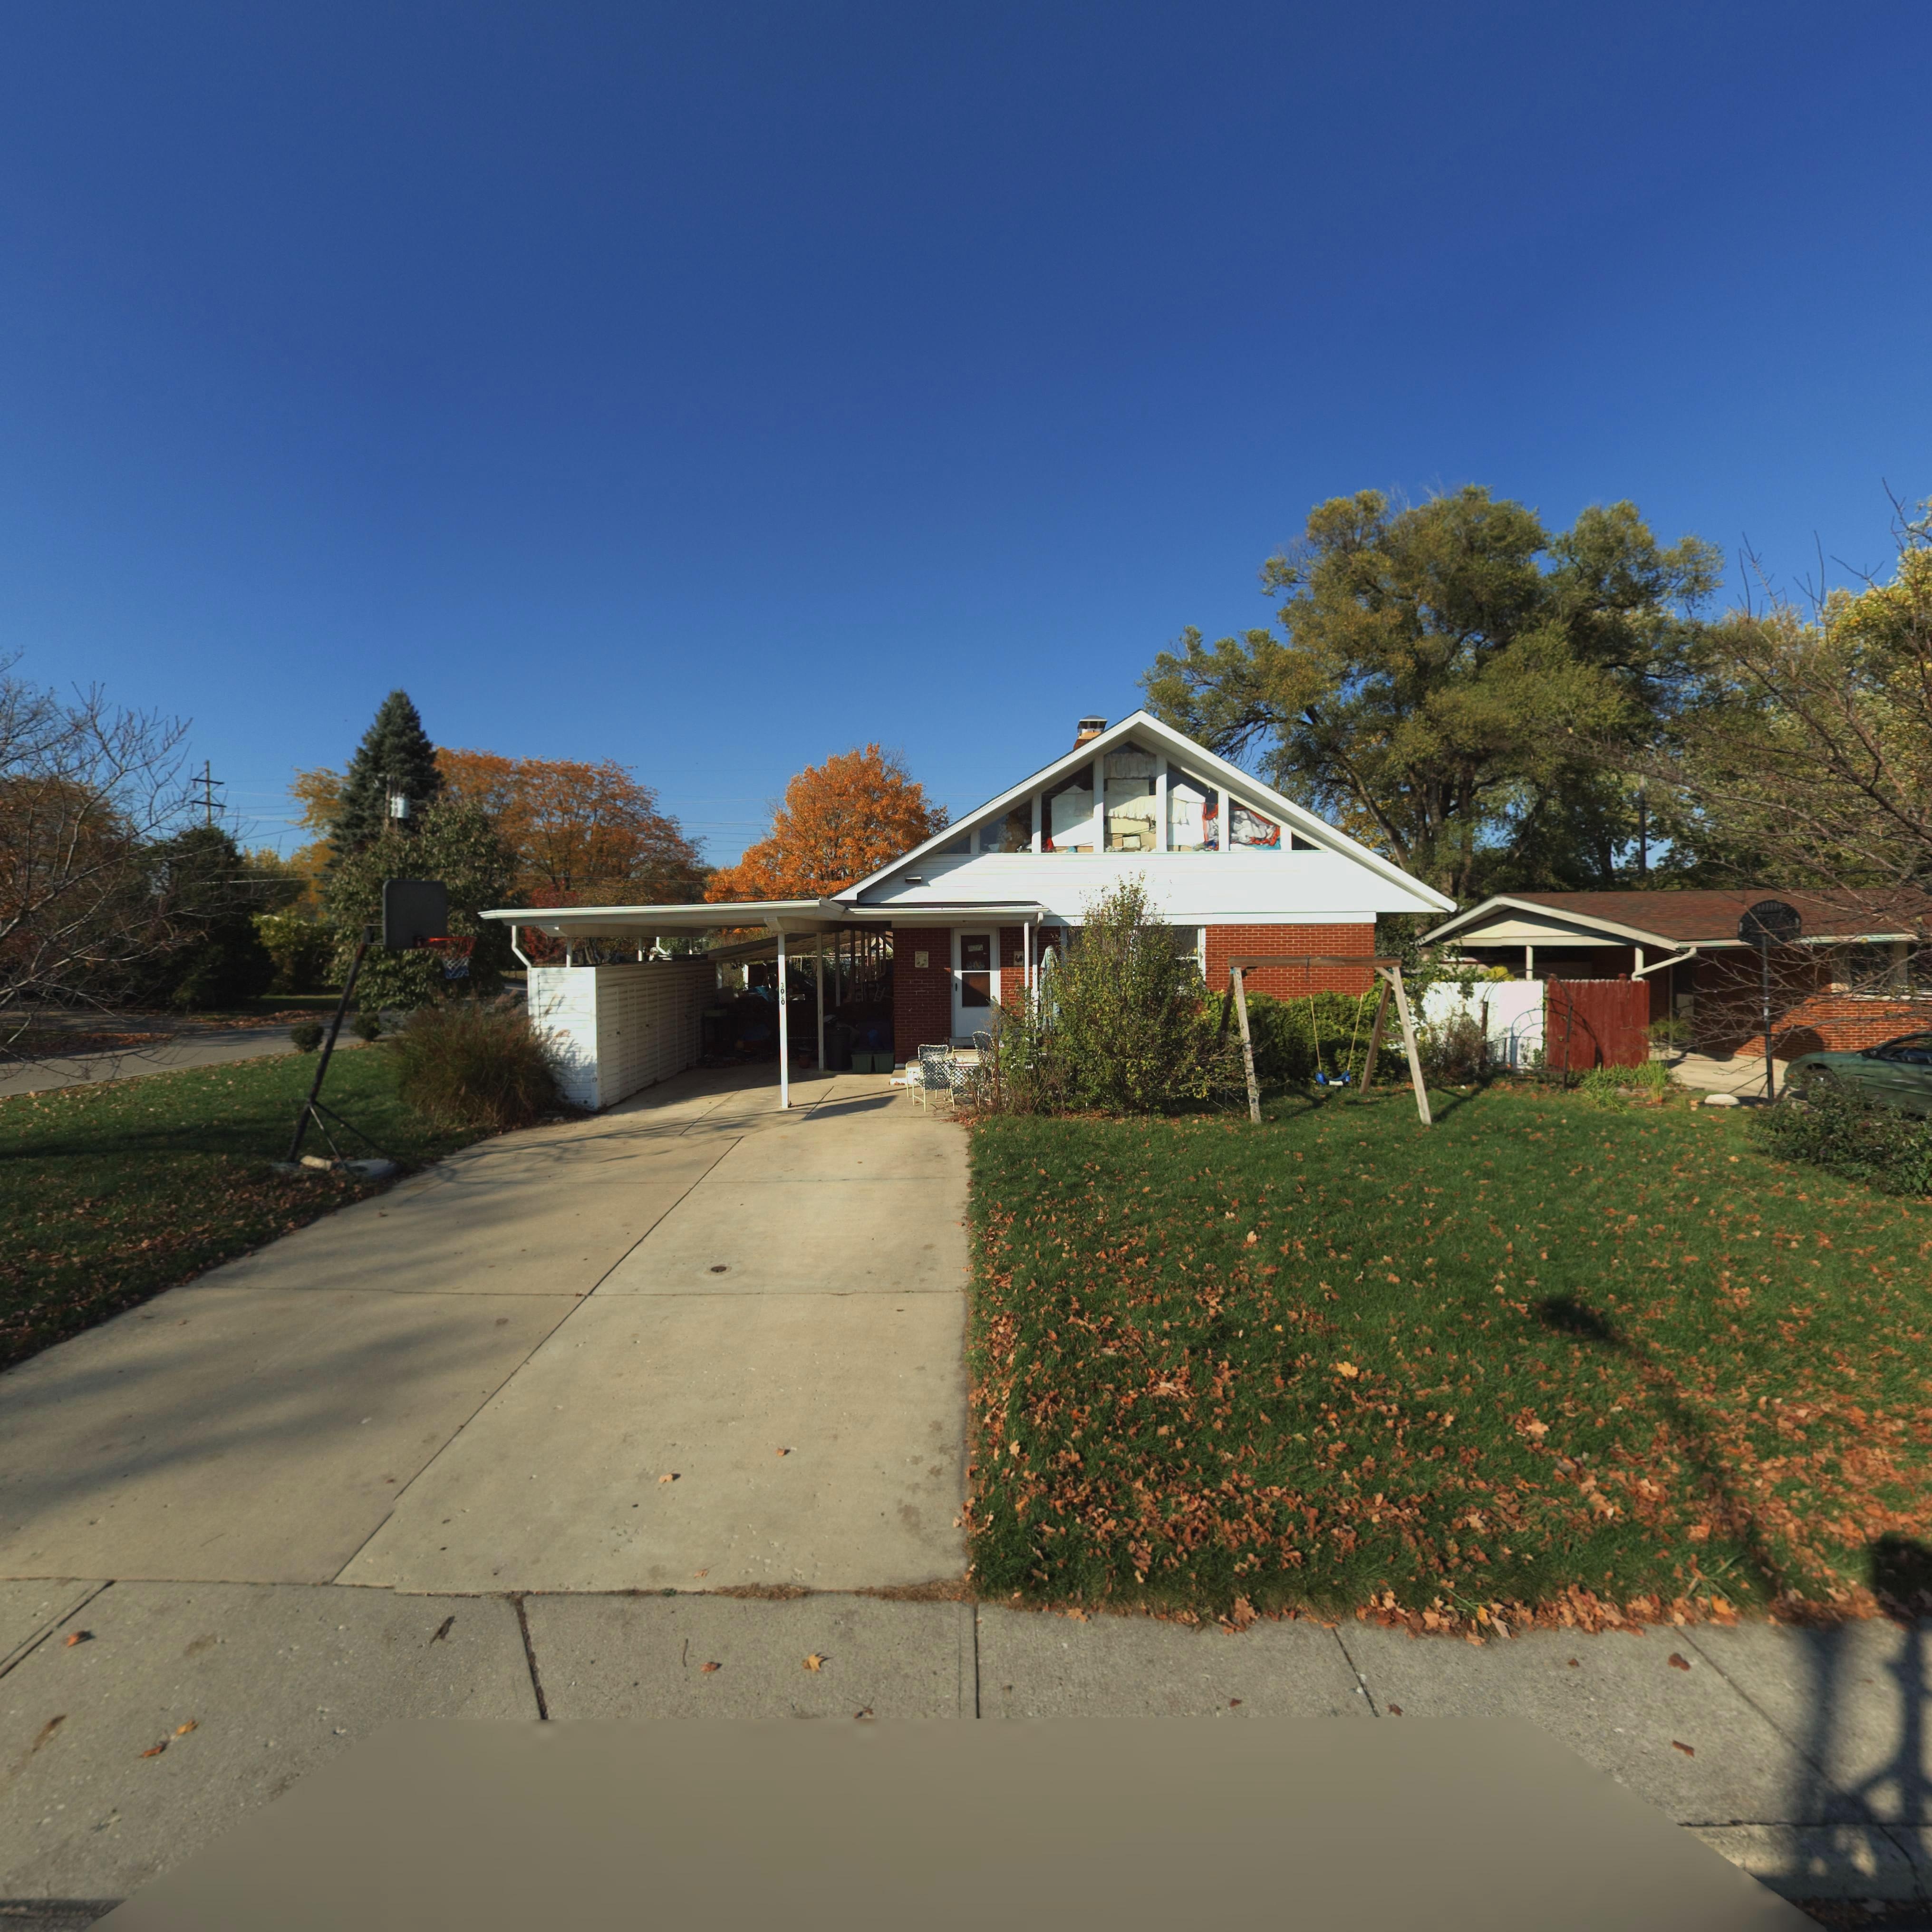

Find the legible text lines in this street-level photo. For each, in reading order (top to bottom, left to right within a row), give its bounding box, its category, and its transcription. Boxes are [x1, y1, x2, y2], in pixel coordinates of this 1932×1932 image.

[779, 981, 786, 1006] StreetNumber: 30*0